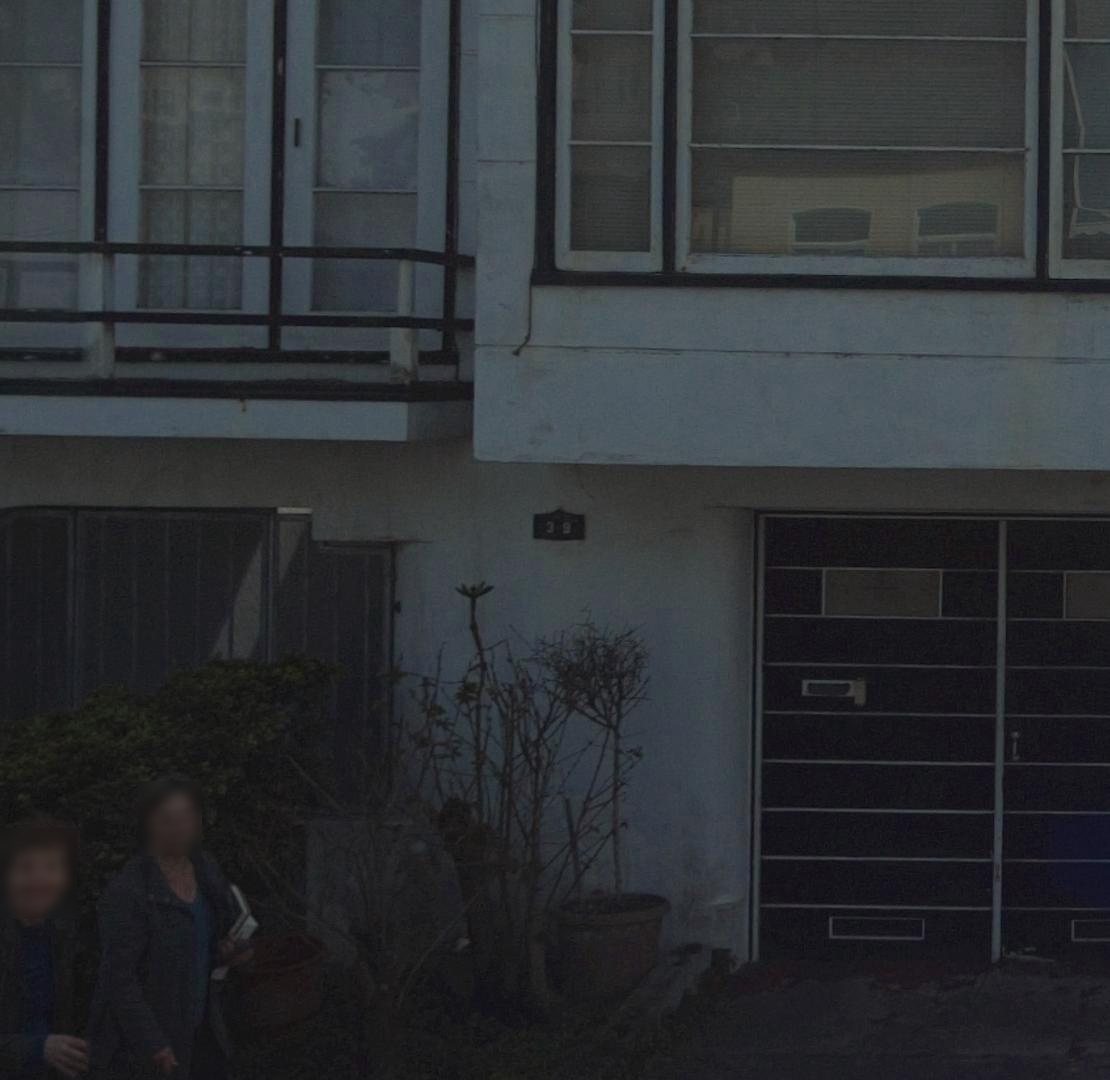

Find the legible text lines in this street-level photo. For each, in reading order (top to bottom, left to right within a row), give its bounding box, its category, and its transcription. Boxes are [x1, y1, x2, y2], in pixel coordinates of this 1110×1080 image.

[544, 520, 572, 535] StreetNumber: 39